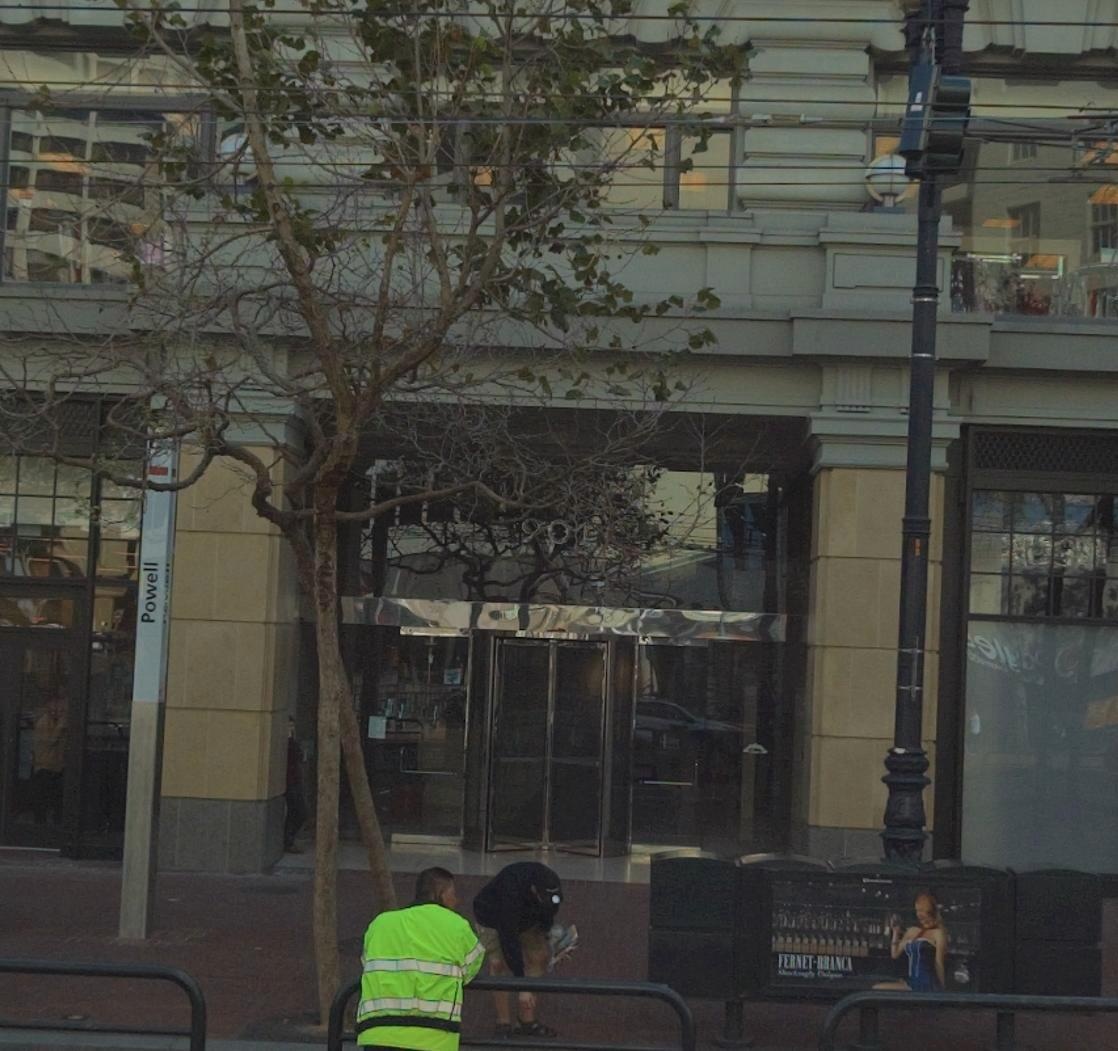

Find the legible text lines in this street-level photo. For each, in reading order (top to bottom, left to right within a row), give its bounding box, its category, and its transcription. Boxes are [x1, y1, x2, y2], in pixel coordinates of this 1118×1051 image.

[513, 514, 595, 552] StreetNumber: 901
[137, 556, 163, 629] StreetName: Powell
[774, 947, 858, 975] None: FERNET BRANCA